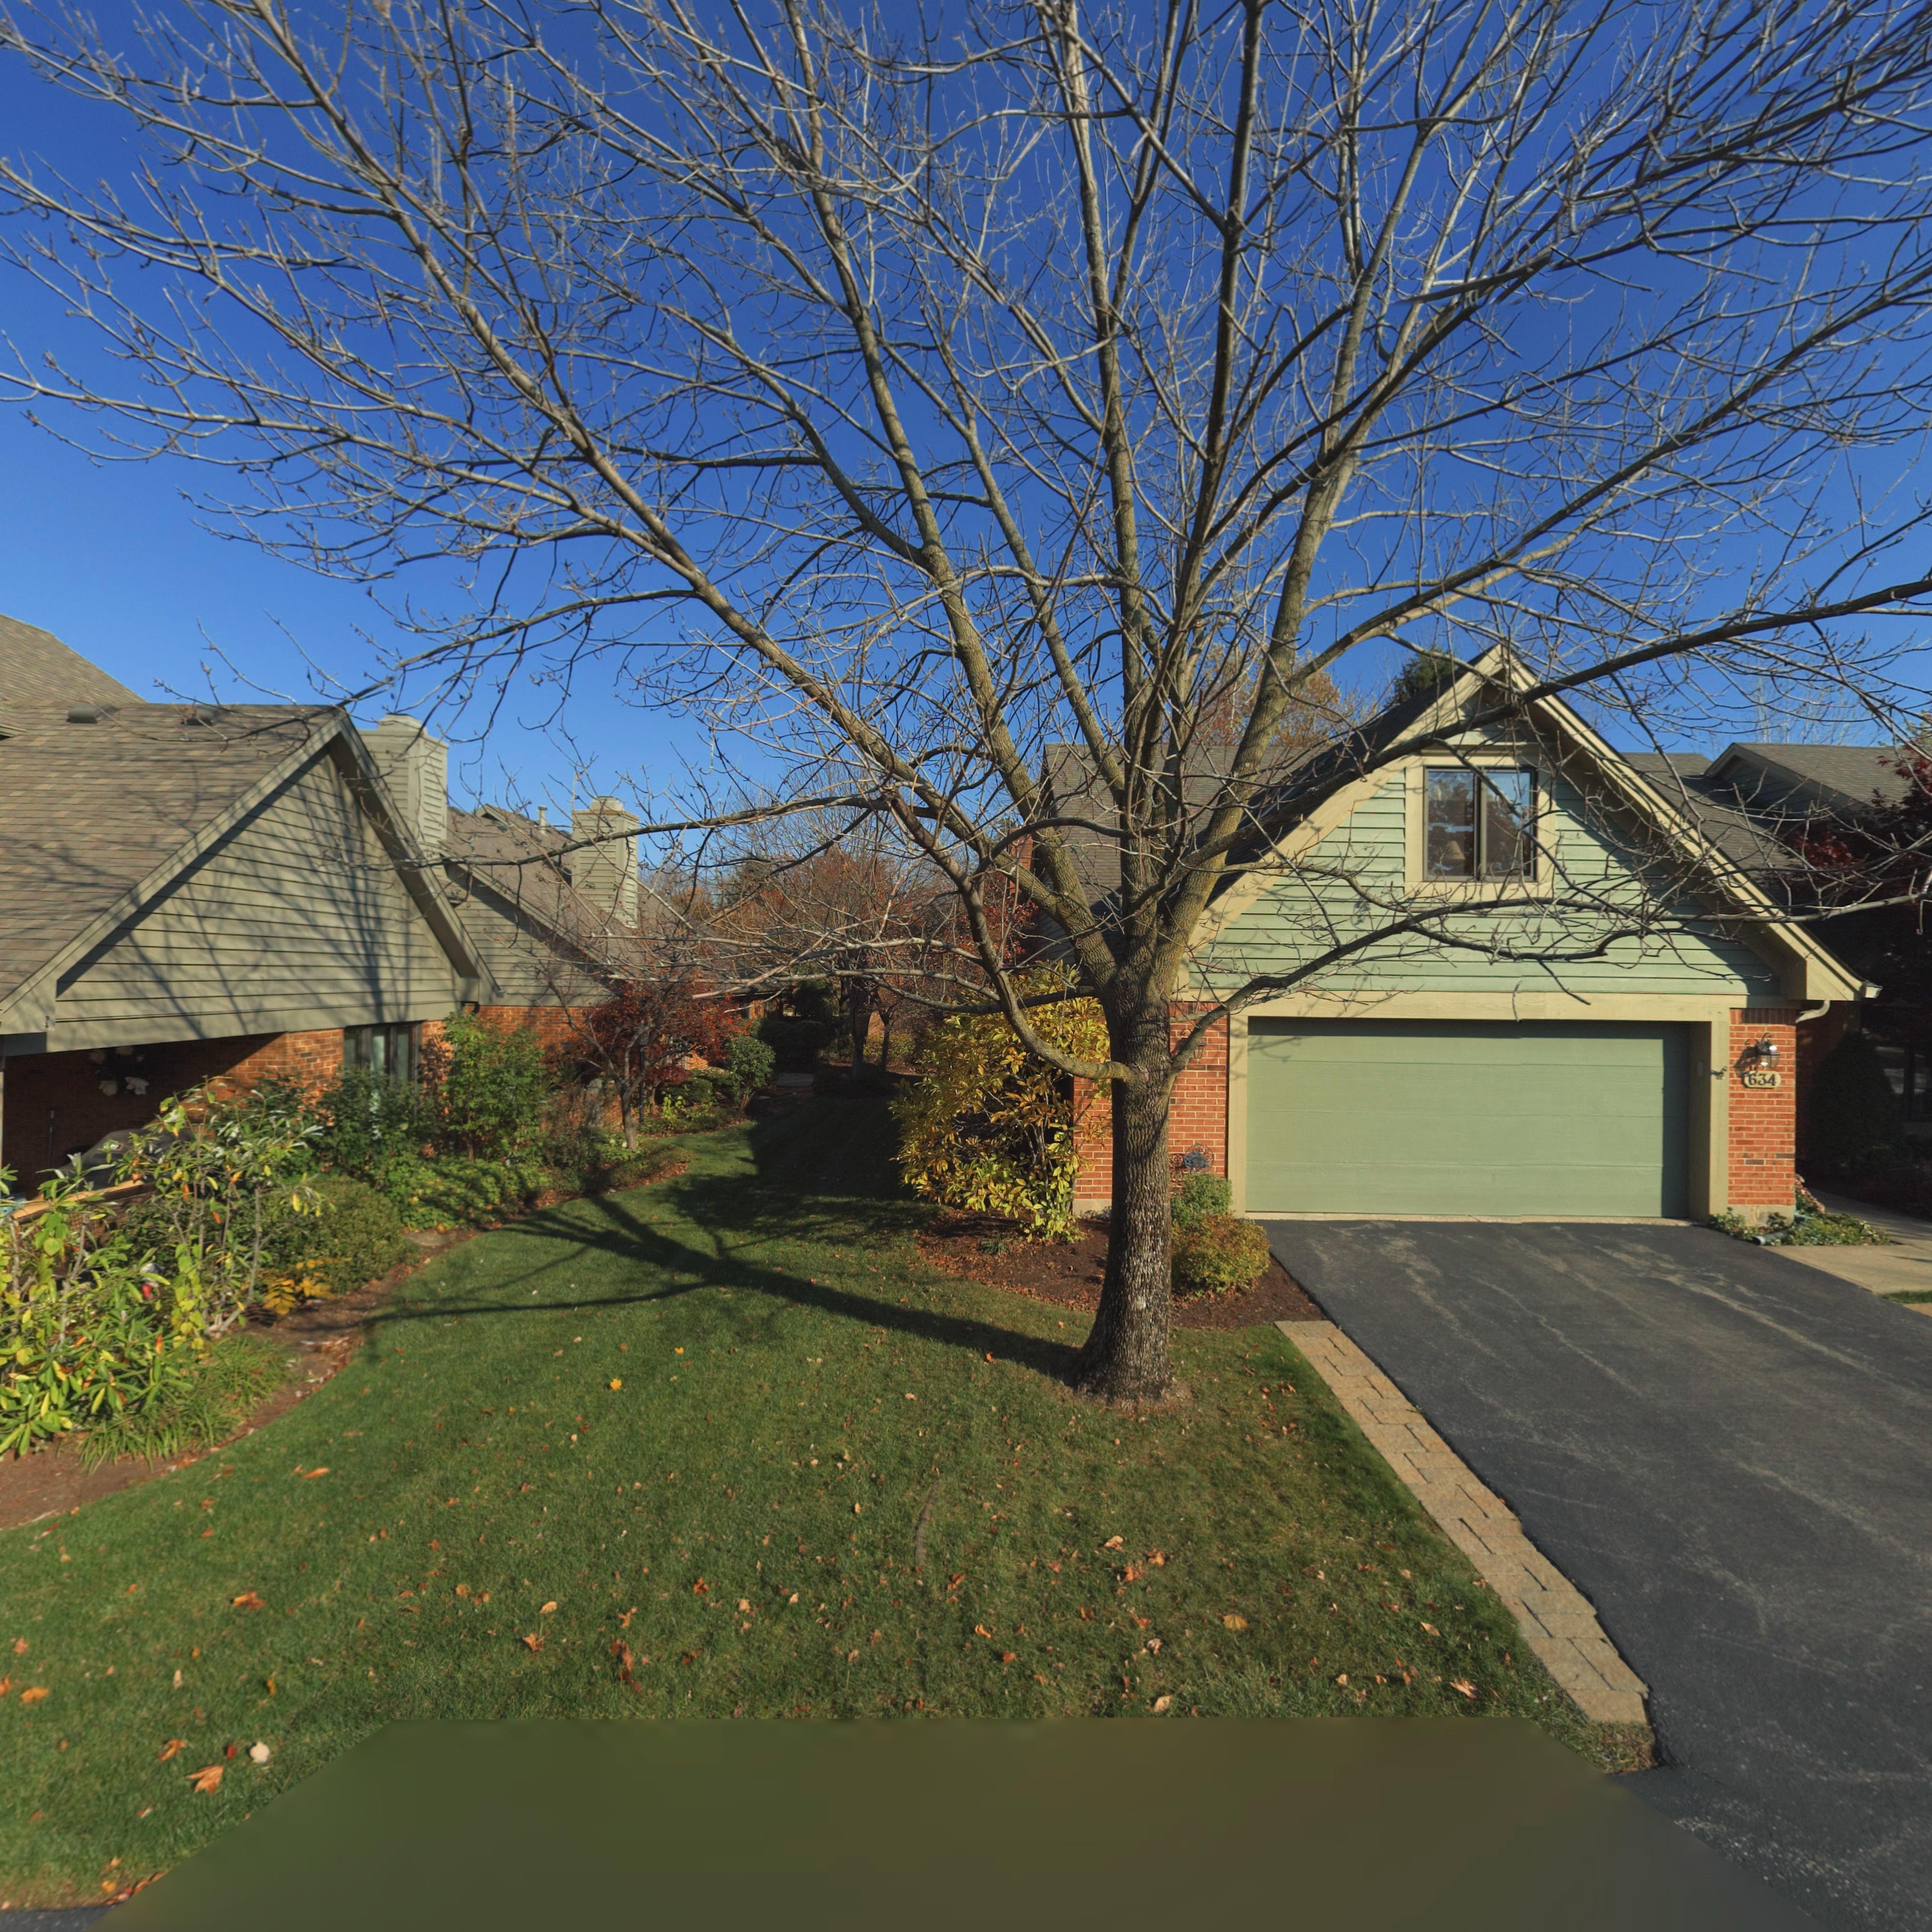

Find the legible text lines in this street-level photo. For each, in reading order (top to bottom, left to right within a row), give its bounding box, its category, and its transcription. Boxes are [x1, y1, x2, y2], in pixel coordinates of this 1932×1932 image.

[1747, 1072, 1778, 1087] StreetNumber: 634